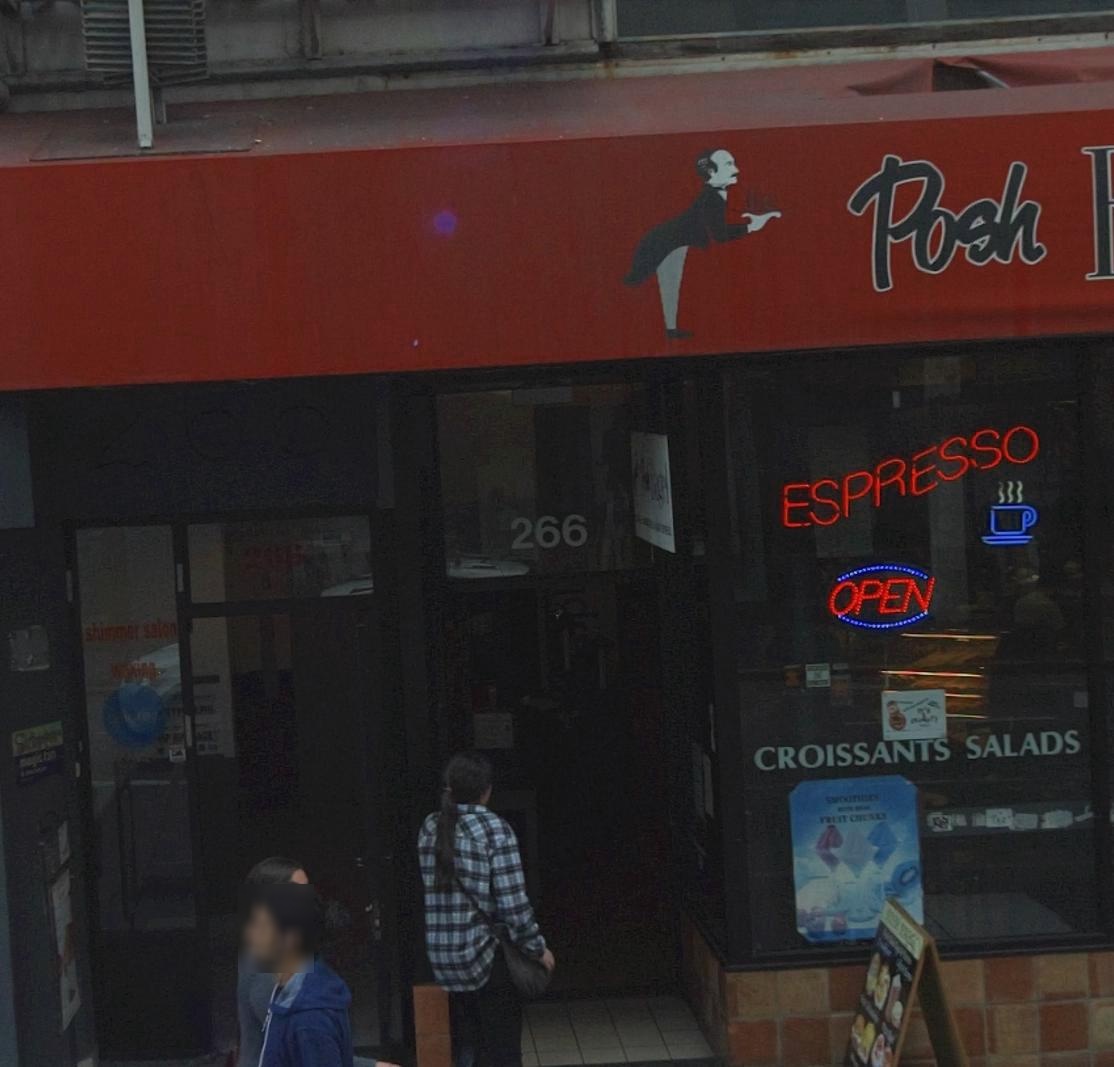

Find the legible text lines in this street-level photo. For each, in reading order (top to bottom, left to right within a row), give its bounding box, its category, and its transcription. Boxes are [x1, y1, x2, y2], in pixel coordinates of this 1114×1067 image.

[833, 143, 1061, 302] BusinessName: Posh
[776, 420, 1046, 539] None: ESPRESSO
[238, 539, 313, 574] StreetNumber: 2*6
[505, 508, 592, 557] StreetNumber: 266
[822, 571, 944, 622] None: OPEN
[82, 617, 181, 646] BusinessName: s*immer salon
[106, 652, 160, 686] BusinessName: waxing
[749, 722, 1084, 777] None: CROISSANTS SALADS
[824, 790, 884, 807] None: SMOOTHIES
[817, 810, 891, 827] None: FRUIT CHEAKS